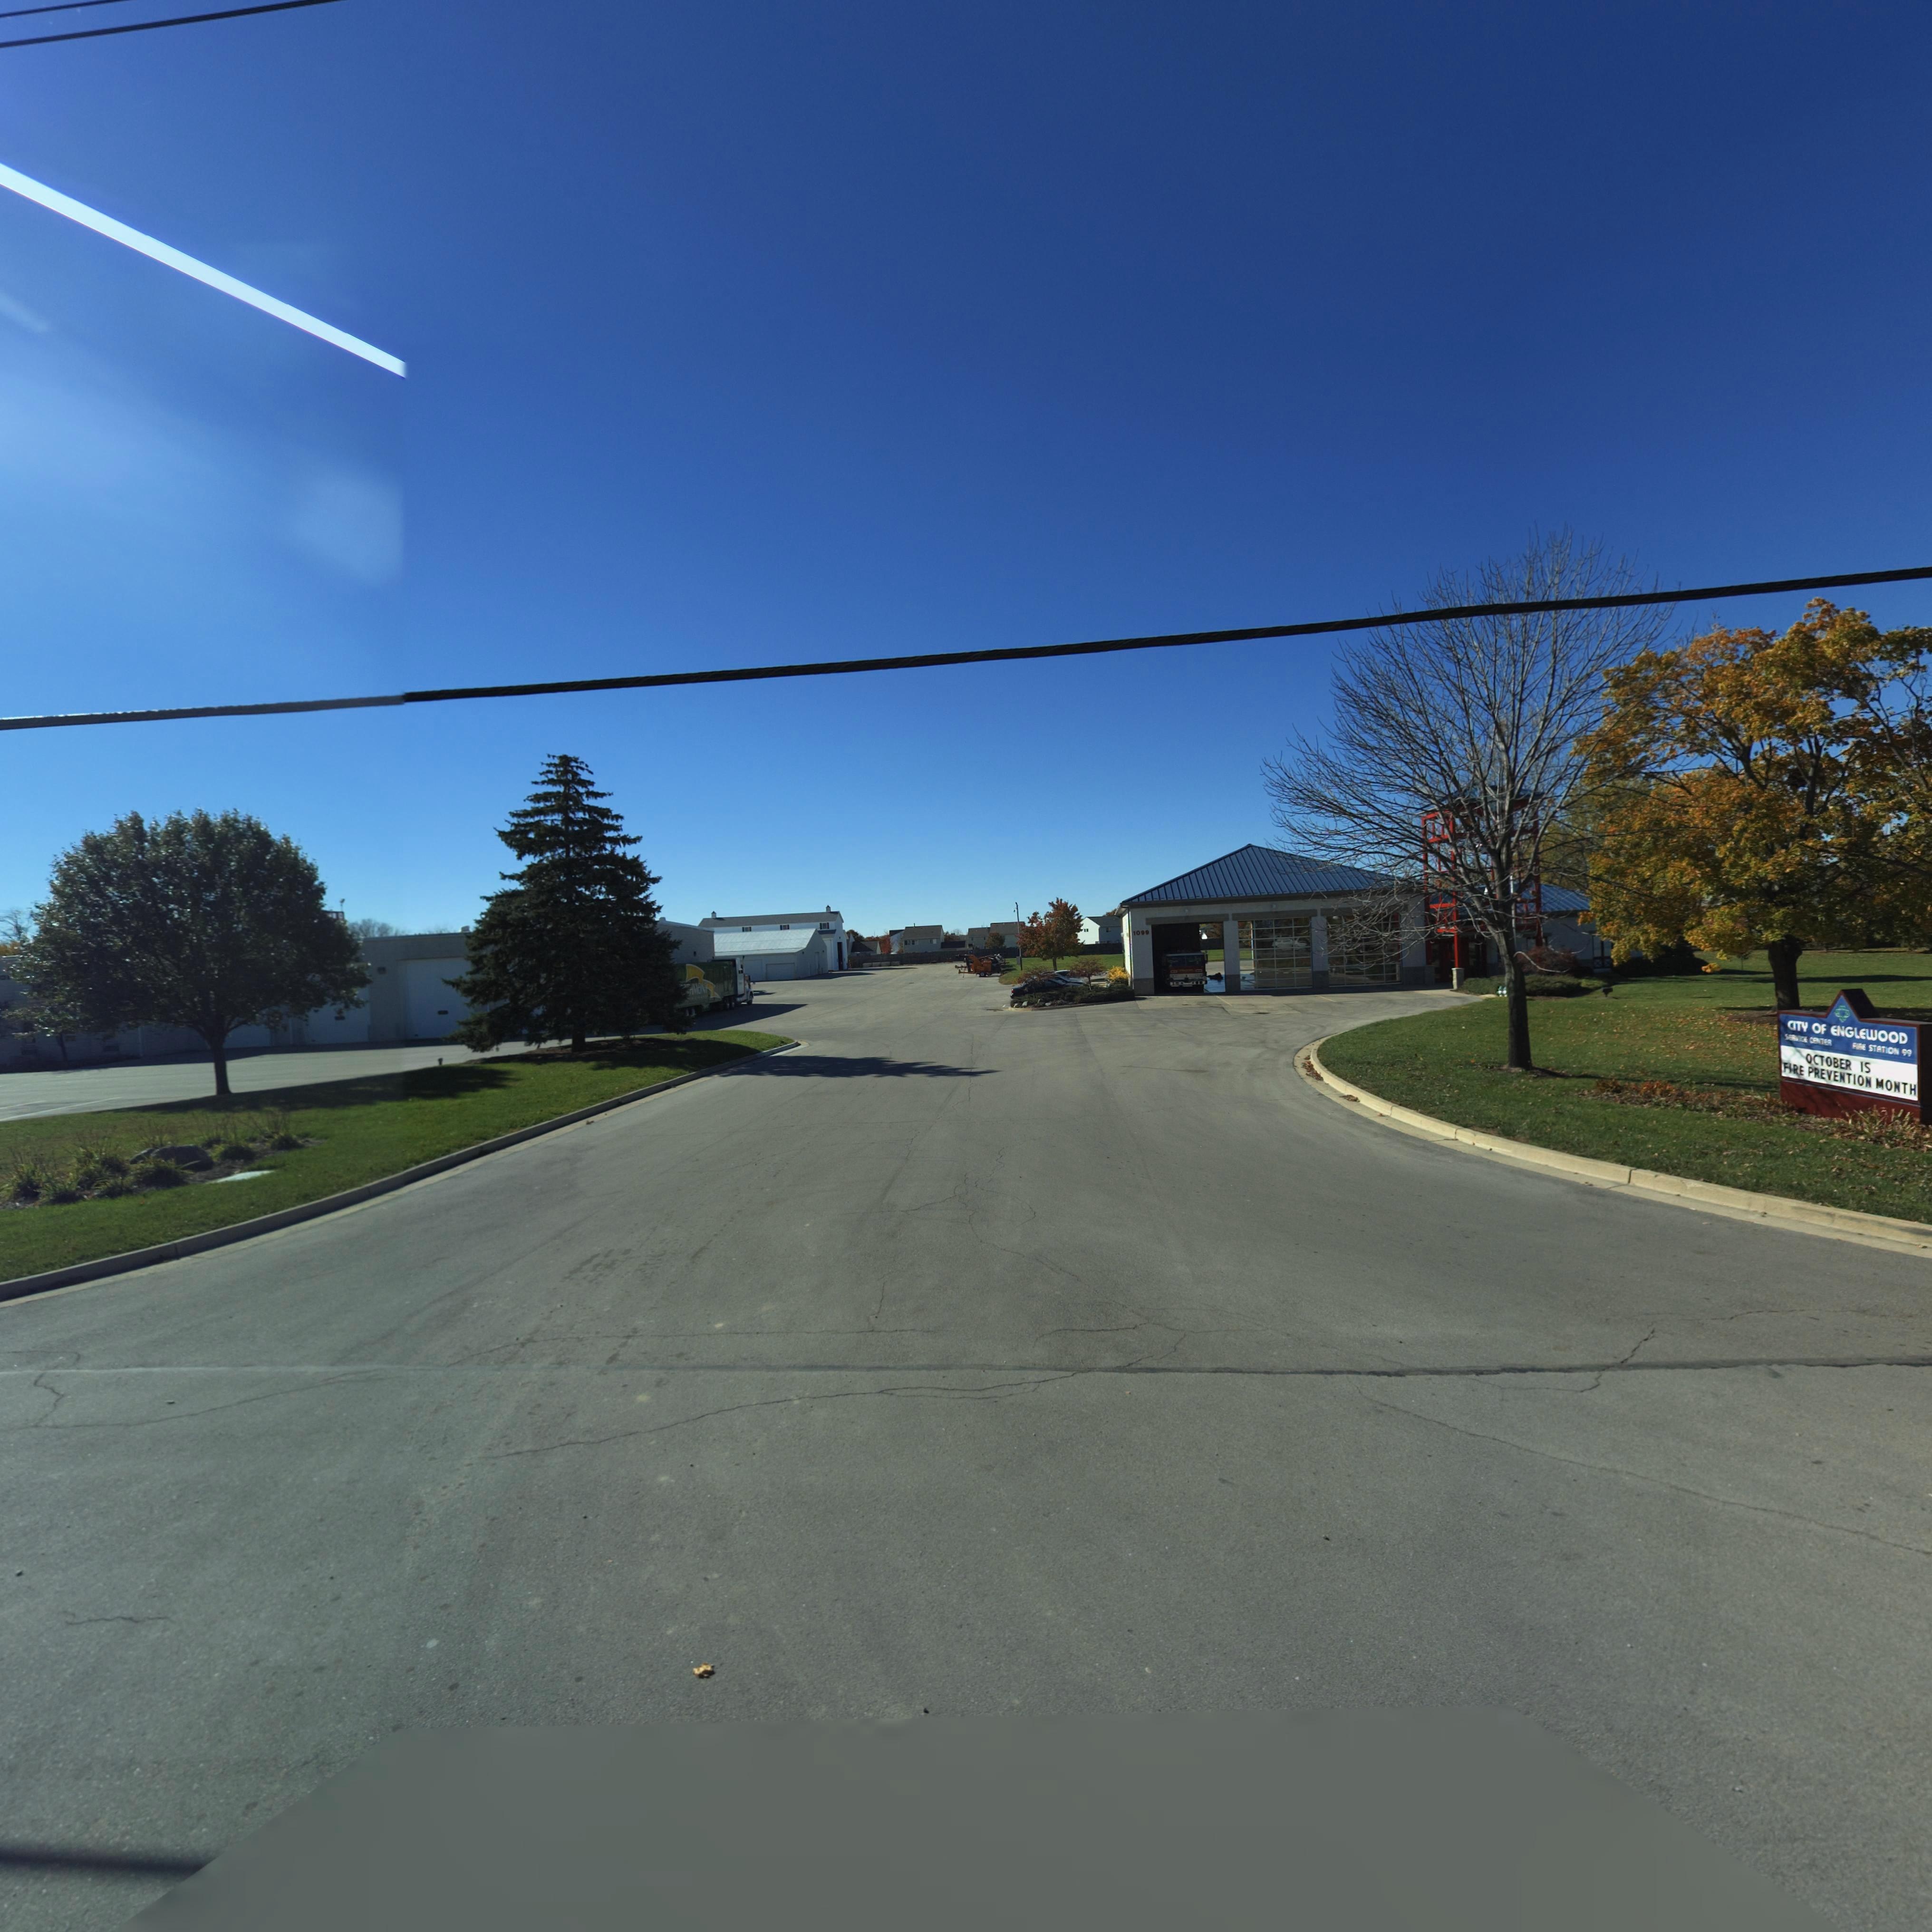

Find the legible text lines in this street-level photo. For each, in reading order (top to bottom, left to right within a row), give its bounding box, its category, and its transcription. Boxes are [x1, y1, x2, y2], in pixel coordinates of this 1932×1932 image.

[1132, 929, 1150, 937] StreetNumber: 1099